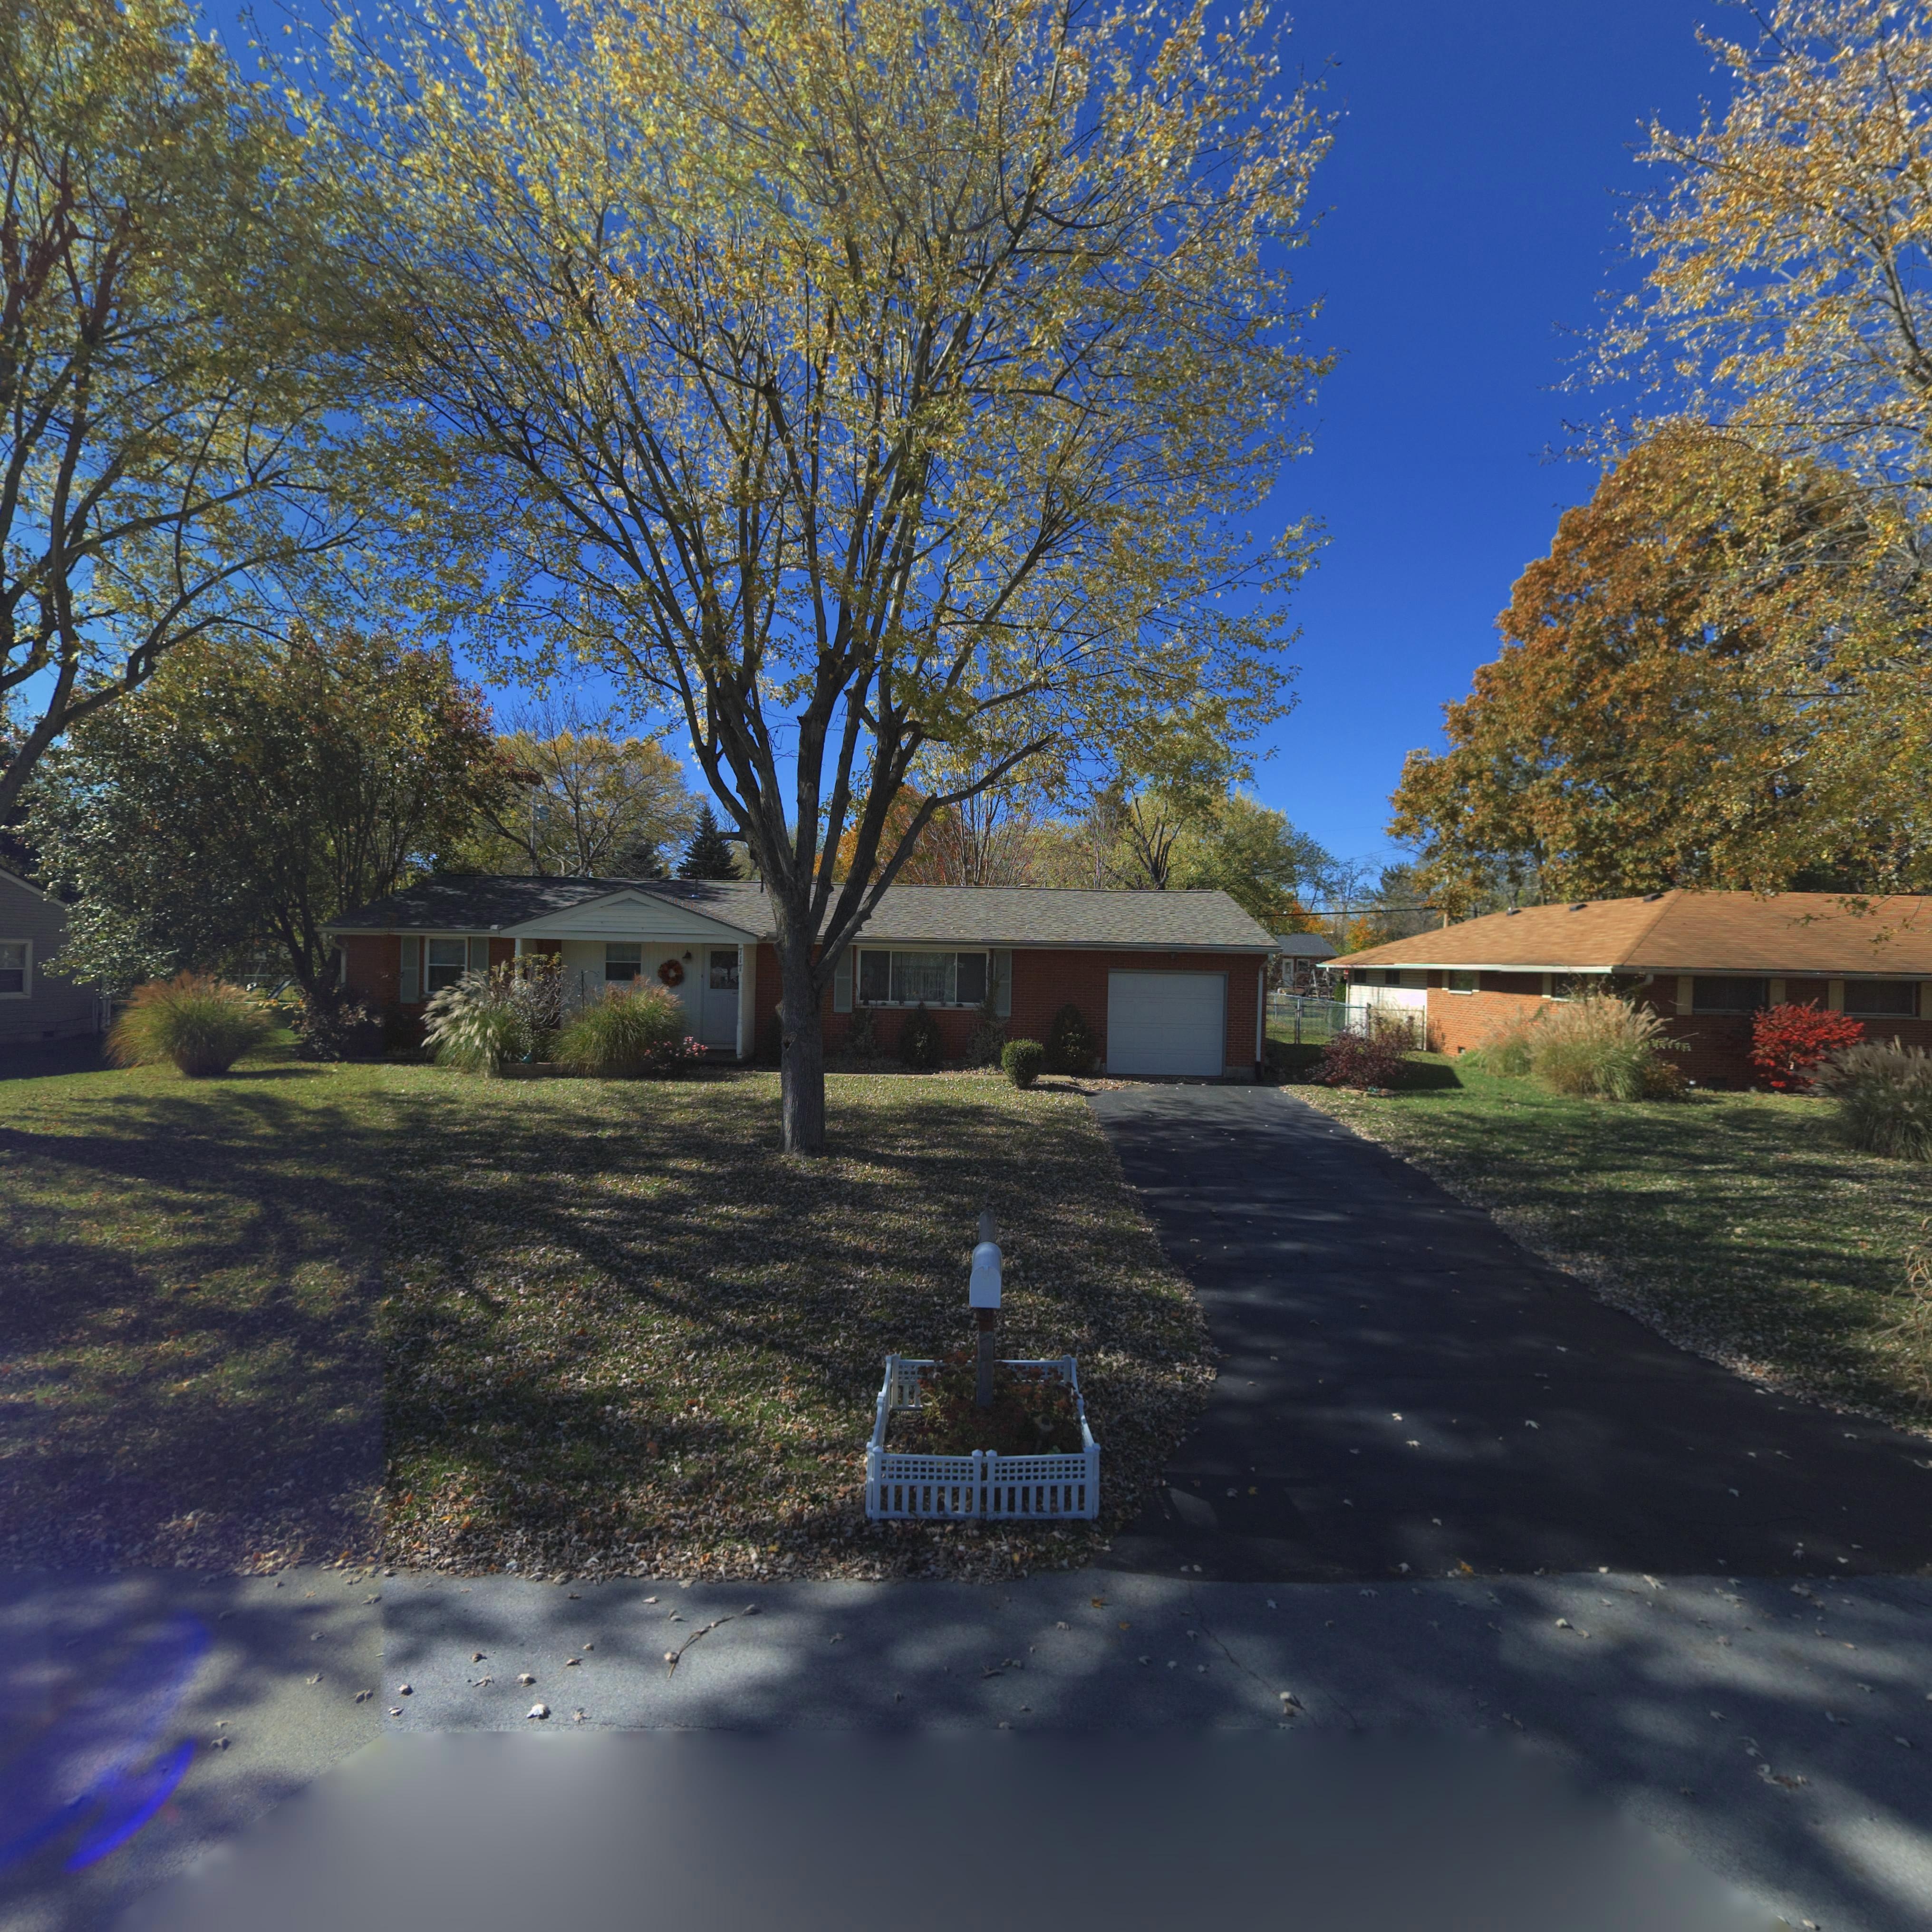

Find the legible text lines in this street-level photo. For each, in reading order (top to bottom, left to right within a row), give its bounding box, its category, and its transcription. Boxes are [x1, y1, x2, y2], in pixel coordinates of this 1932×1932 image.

[737, 947, 744, 972] StreetNumber: 717